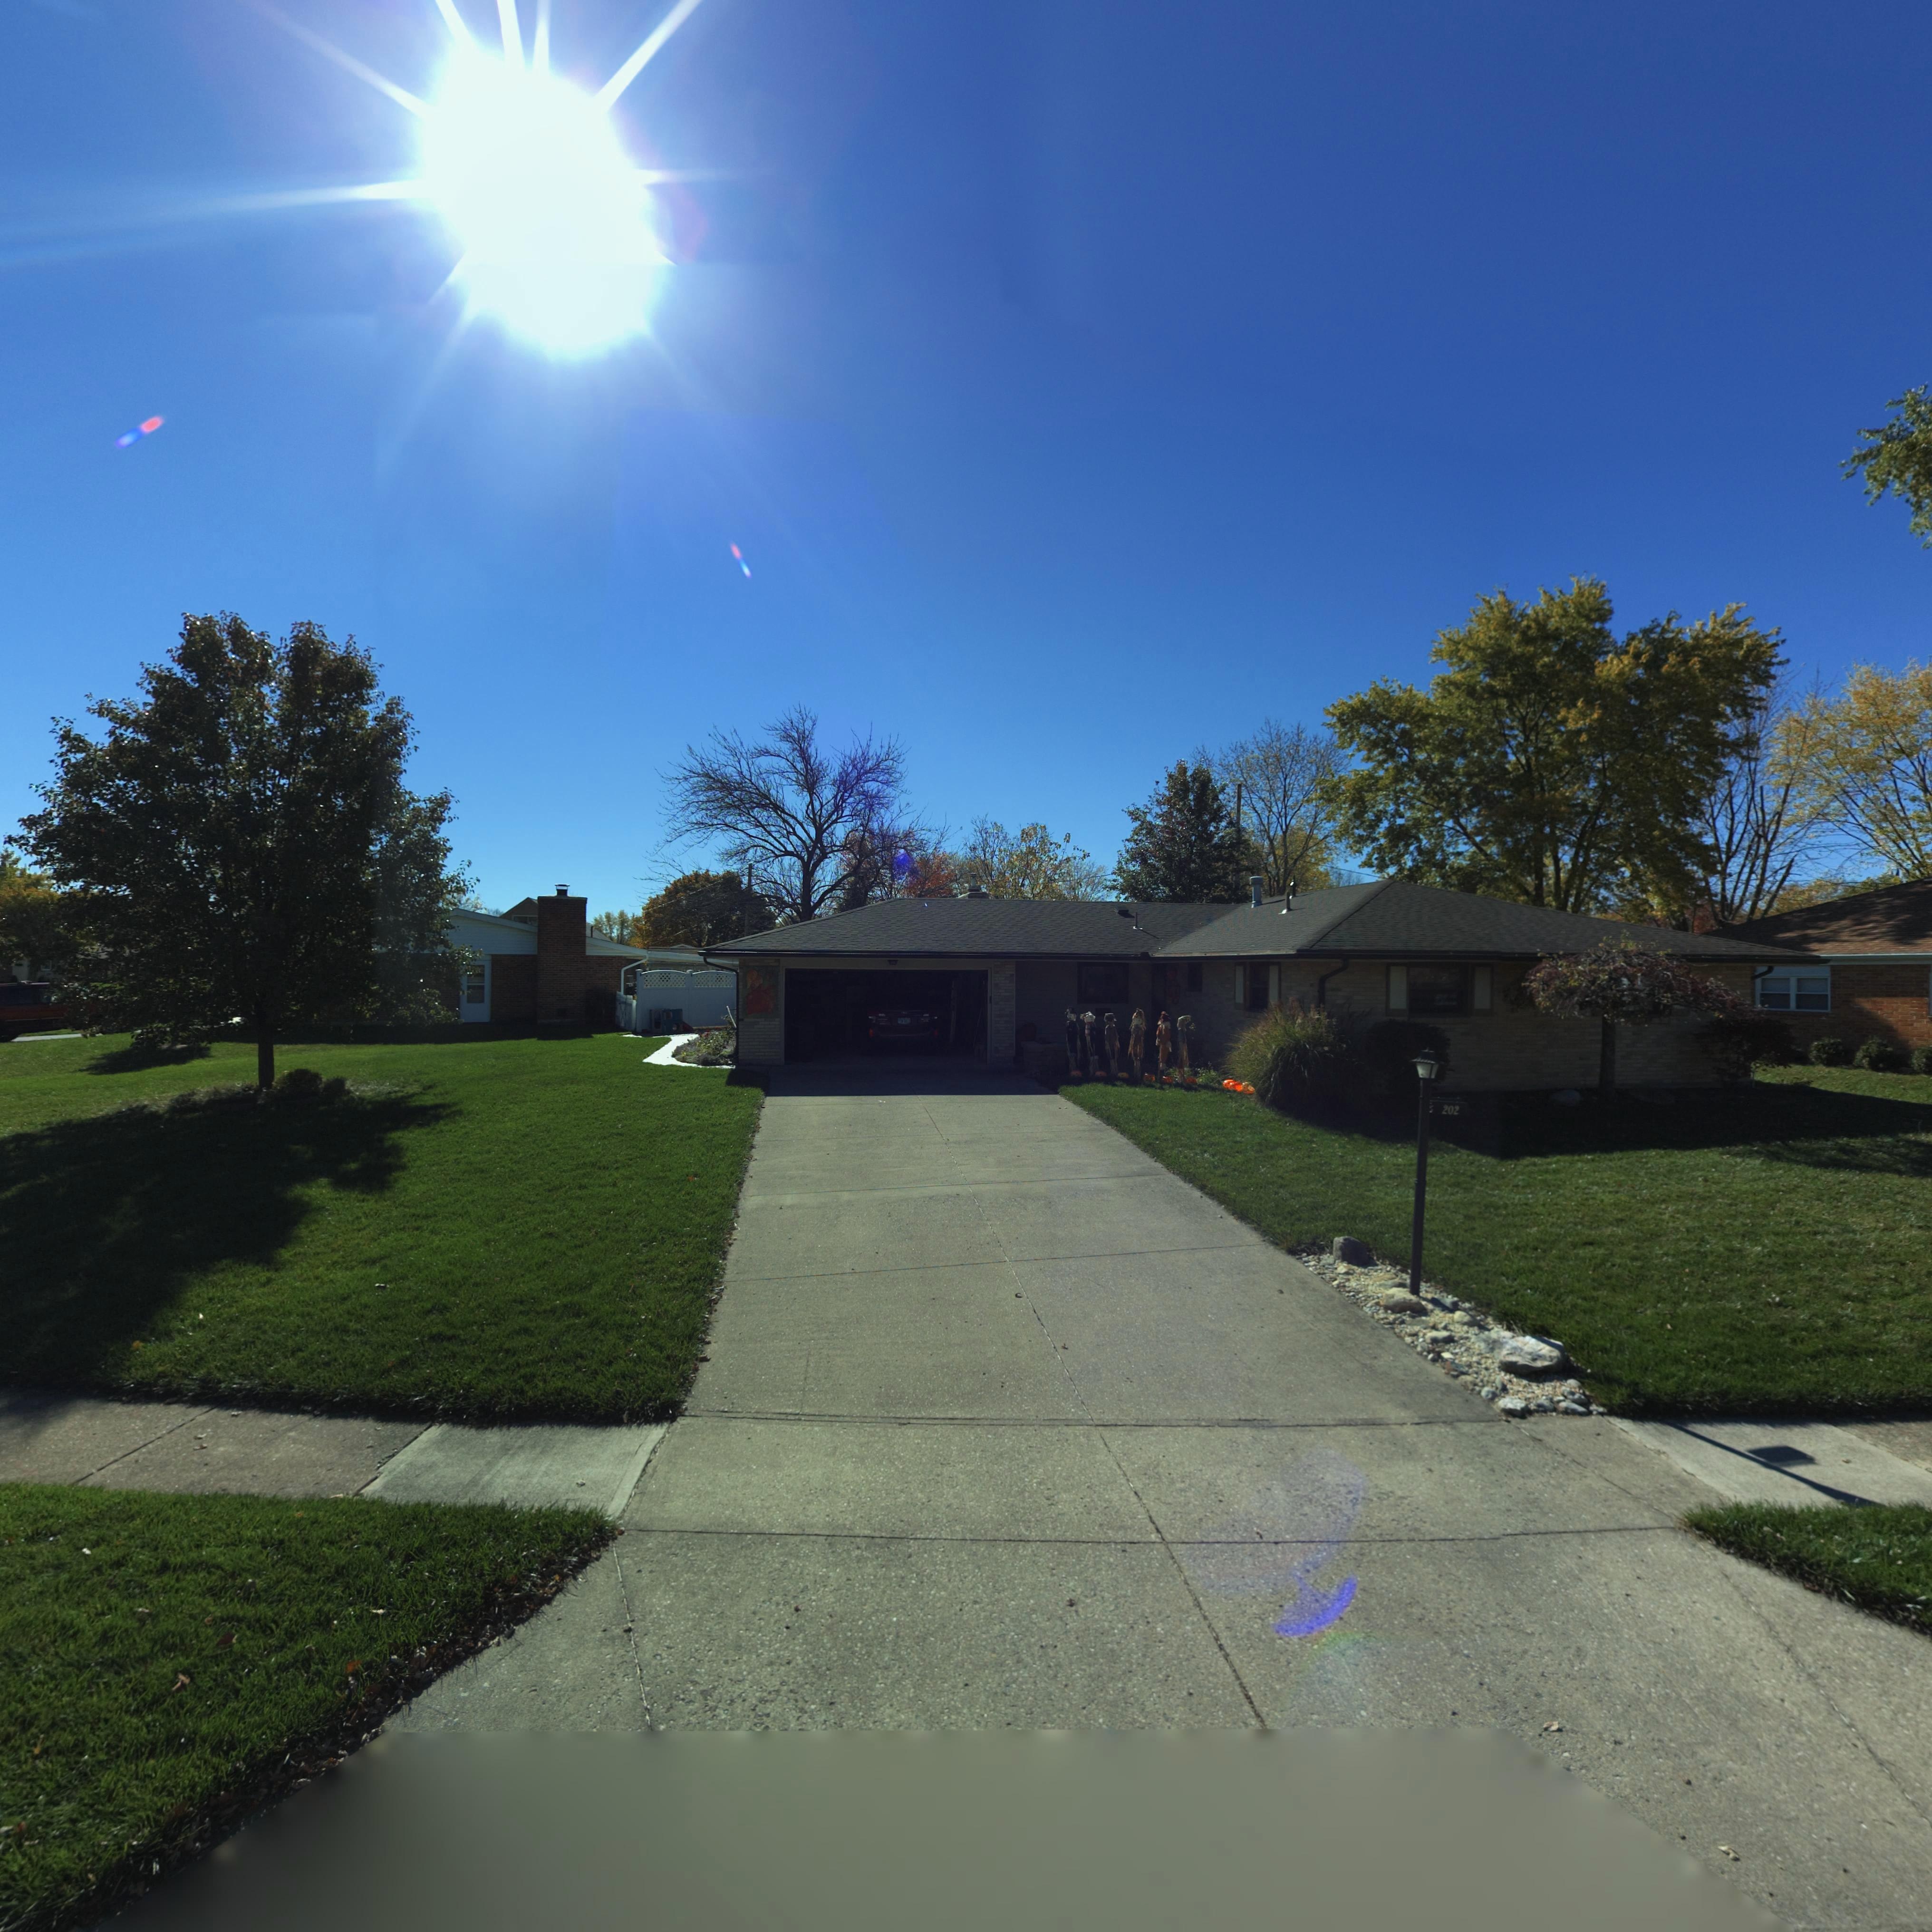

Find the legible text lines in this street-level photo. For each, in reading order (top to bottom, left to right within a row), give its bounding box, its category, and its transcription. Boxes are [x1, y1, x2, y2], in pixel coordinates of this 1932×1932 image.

[1440, 1104, 1460, 1116] StreetNumber: 202